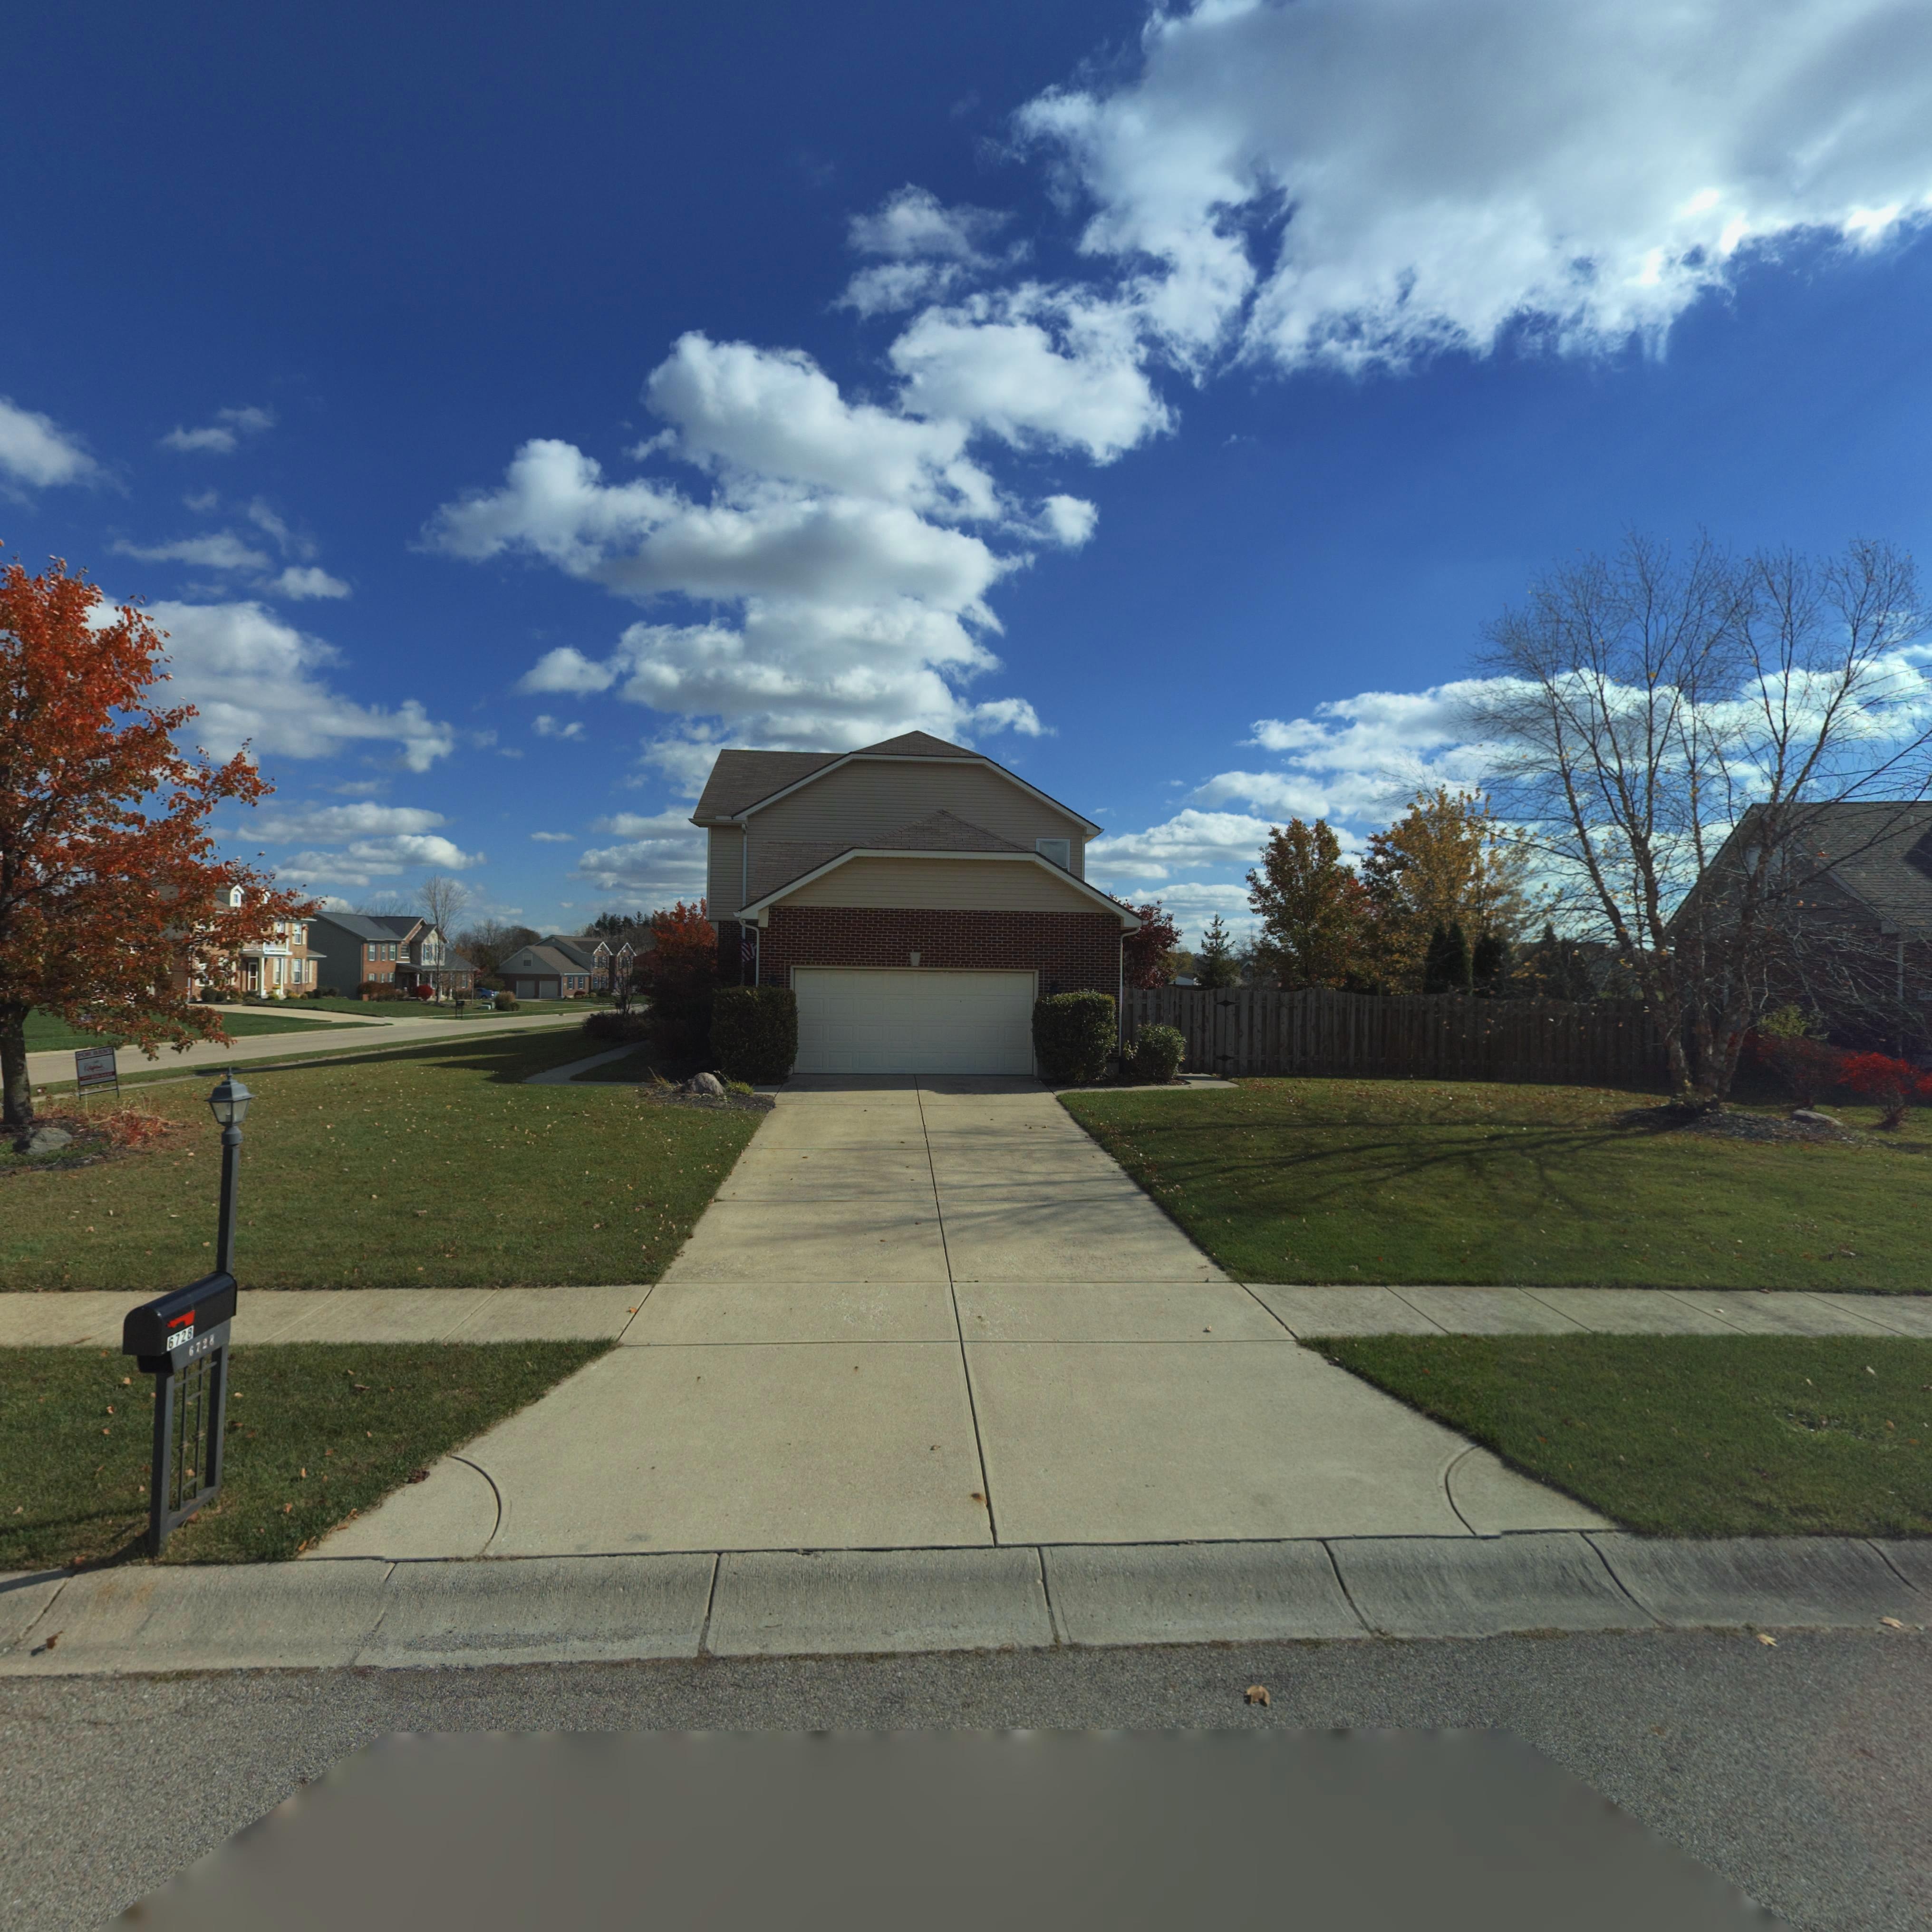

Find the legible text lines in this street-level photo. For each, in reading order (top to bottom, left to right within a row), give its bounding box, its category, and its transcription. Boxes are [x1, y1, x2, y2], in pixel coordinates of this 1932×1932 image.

[167, 1325, 193, 1351] StreetNumber: 6728
[188, 1332, 215, 1358] StreetNumber: 6728